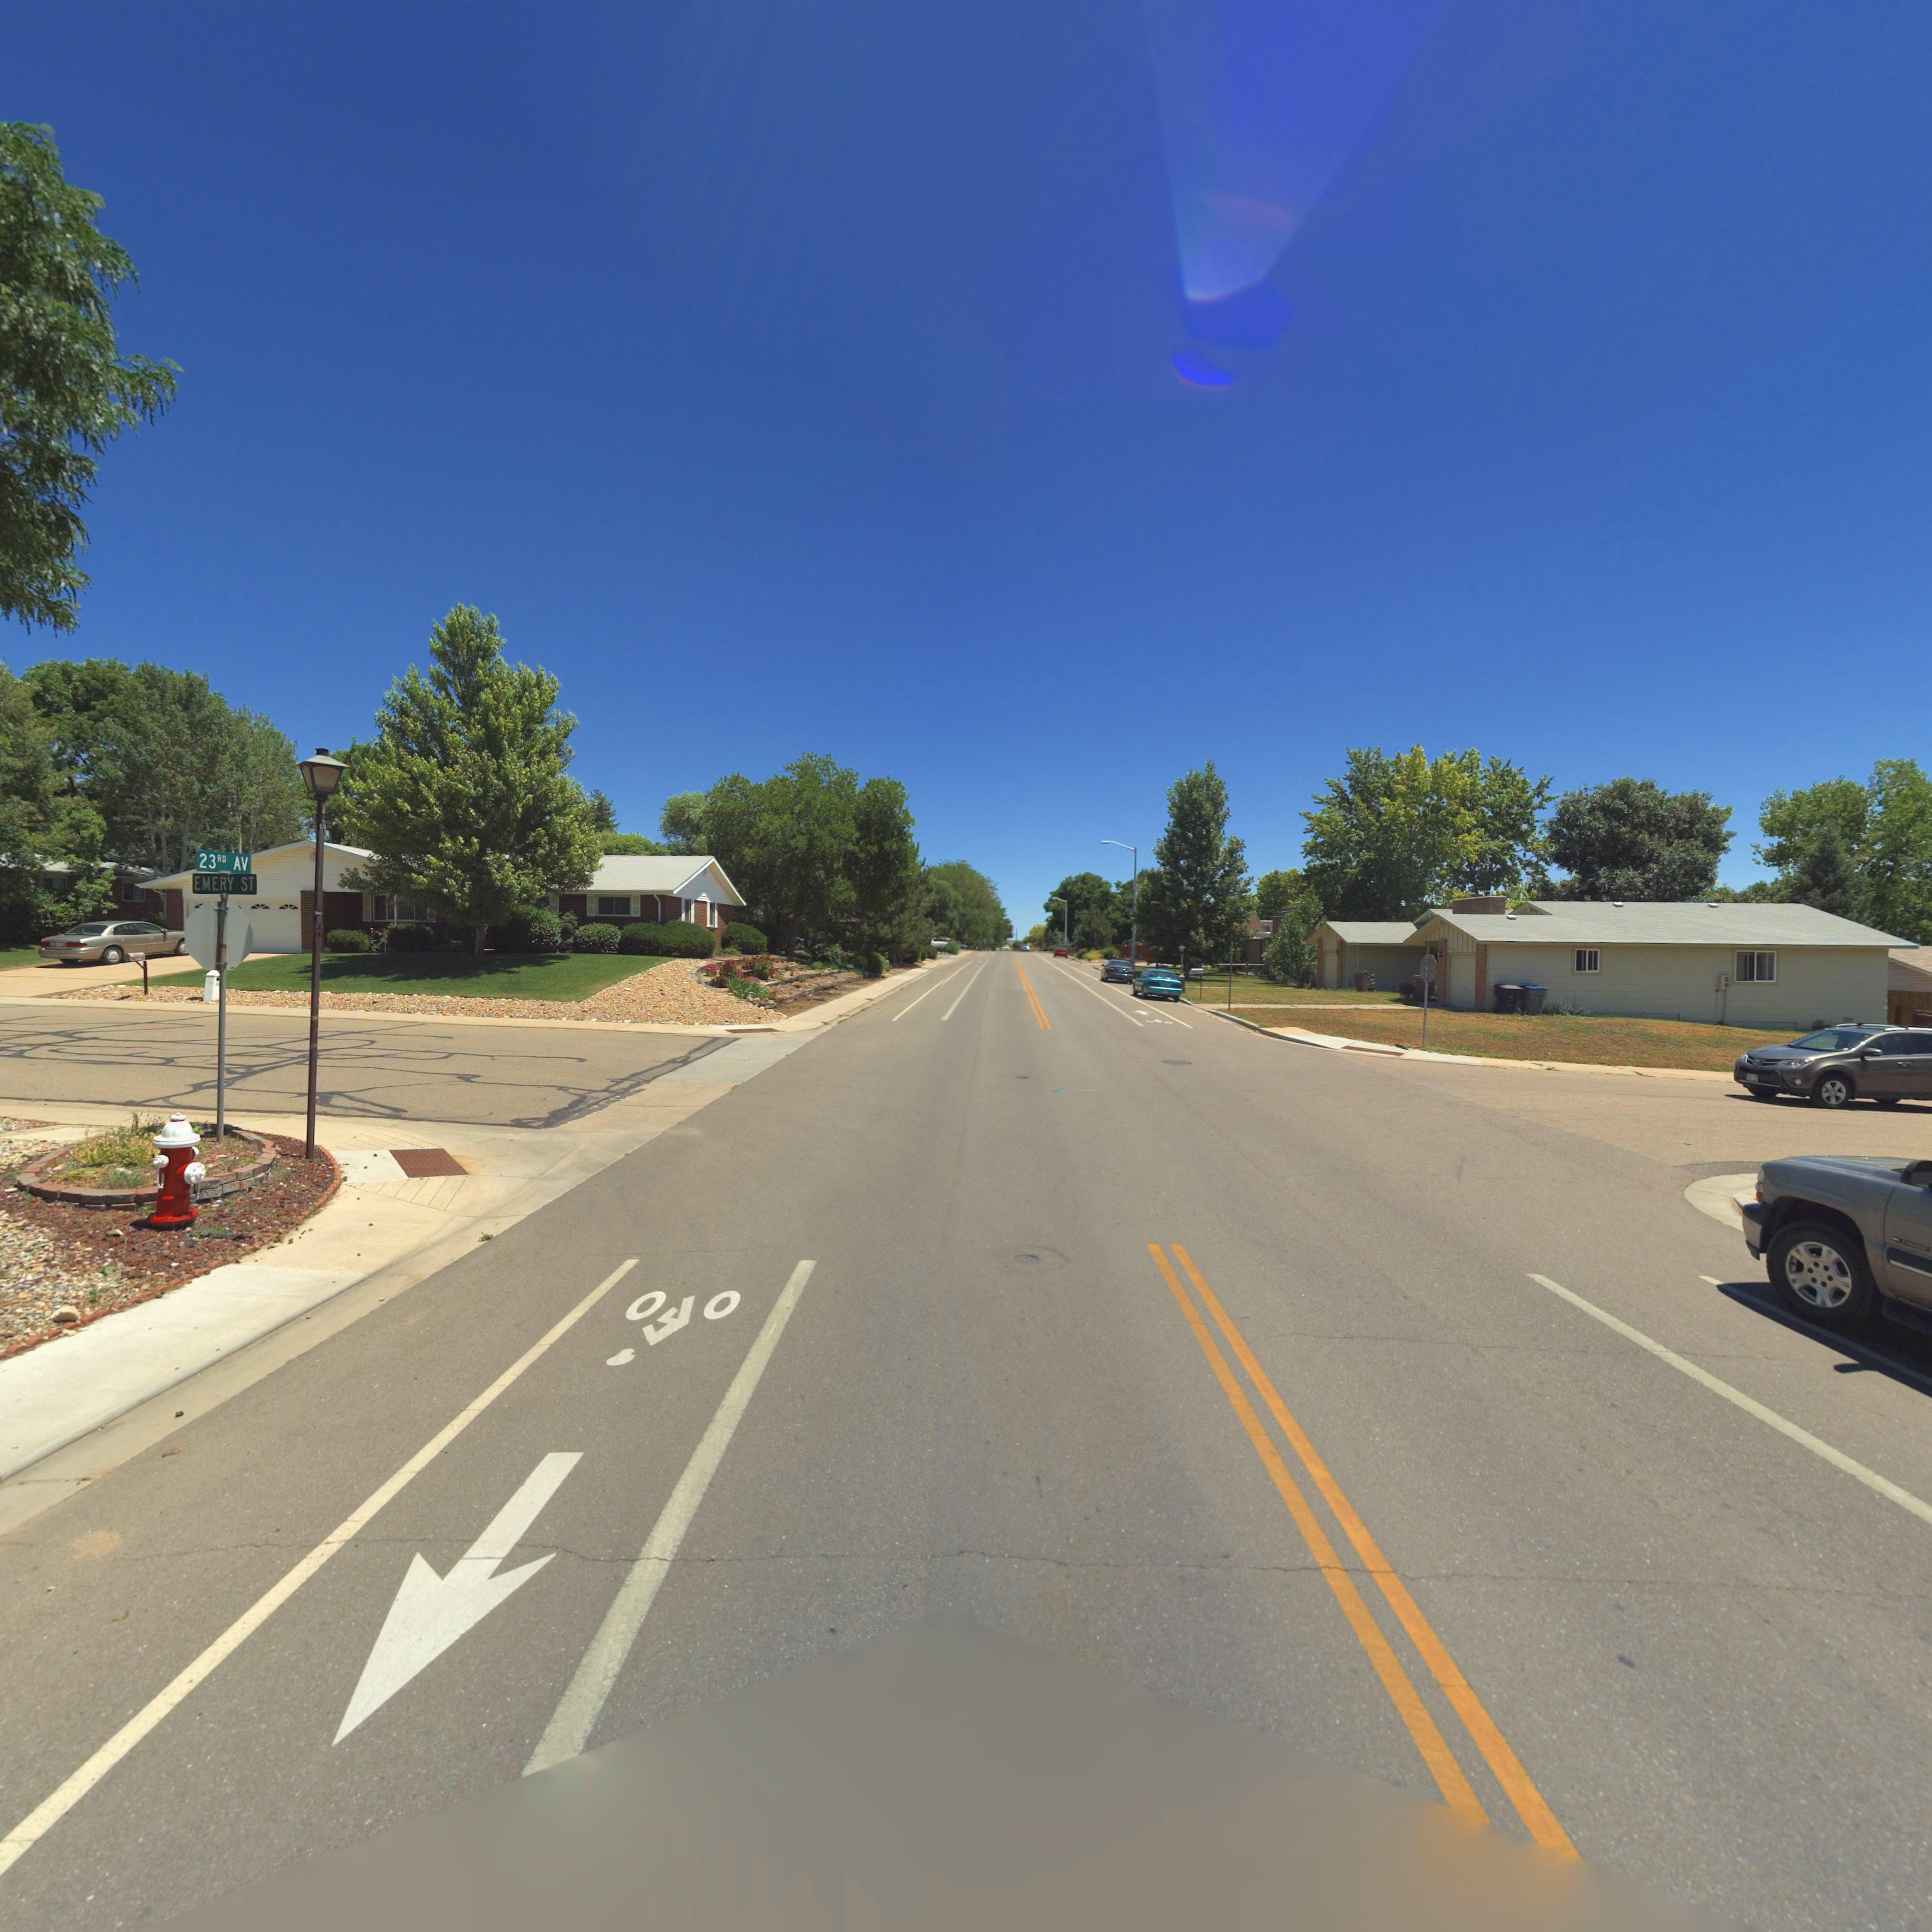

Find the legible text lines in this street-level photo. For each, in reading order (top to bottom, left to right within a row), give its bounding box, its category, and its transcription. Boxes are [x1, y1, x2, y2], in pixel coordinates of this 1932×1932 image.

[199, 852, 249, 871] StreetName: 23RD AV
[194, 875, 254, 892] StreetName: EMERY ST